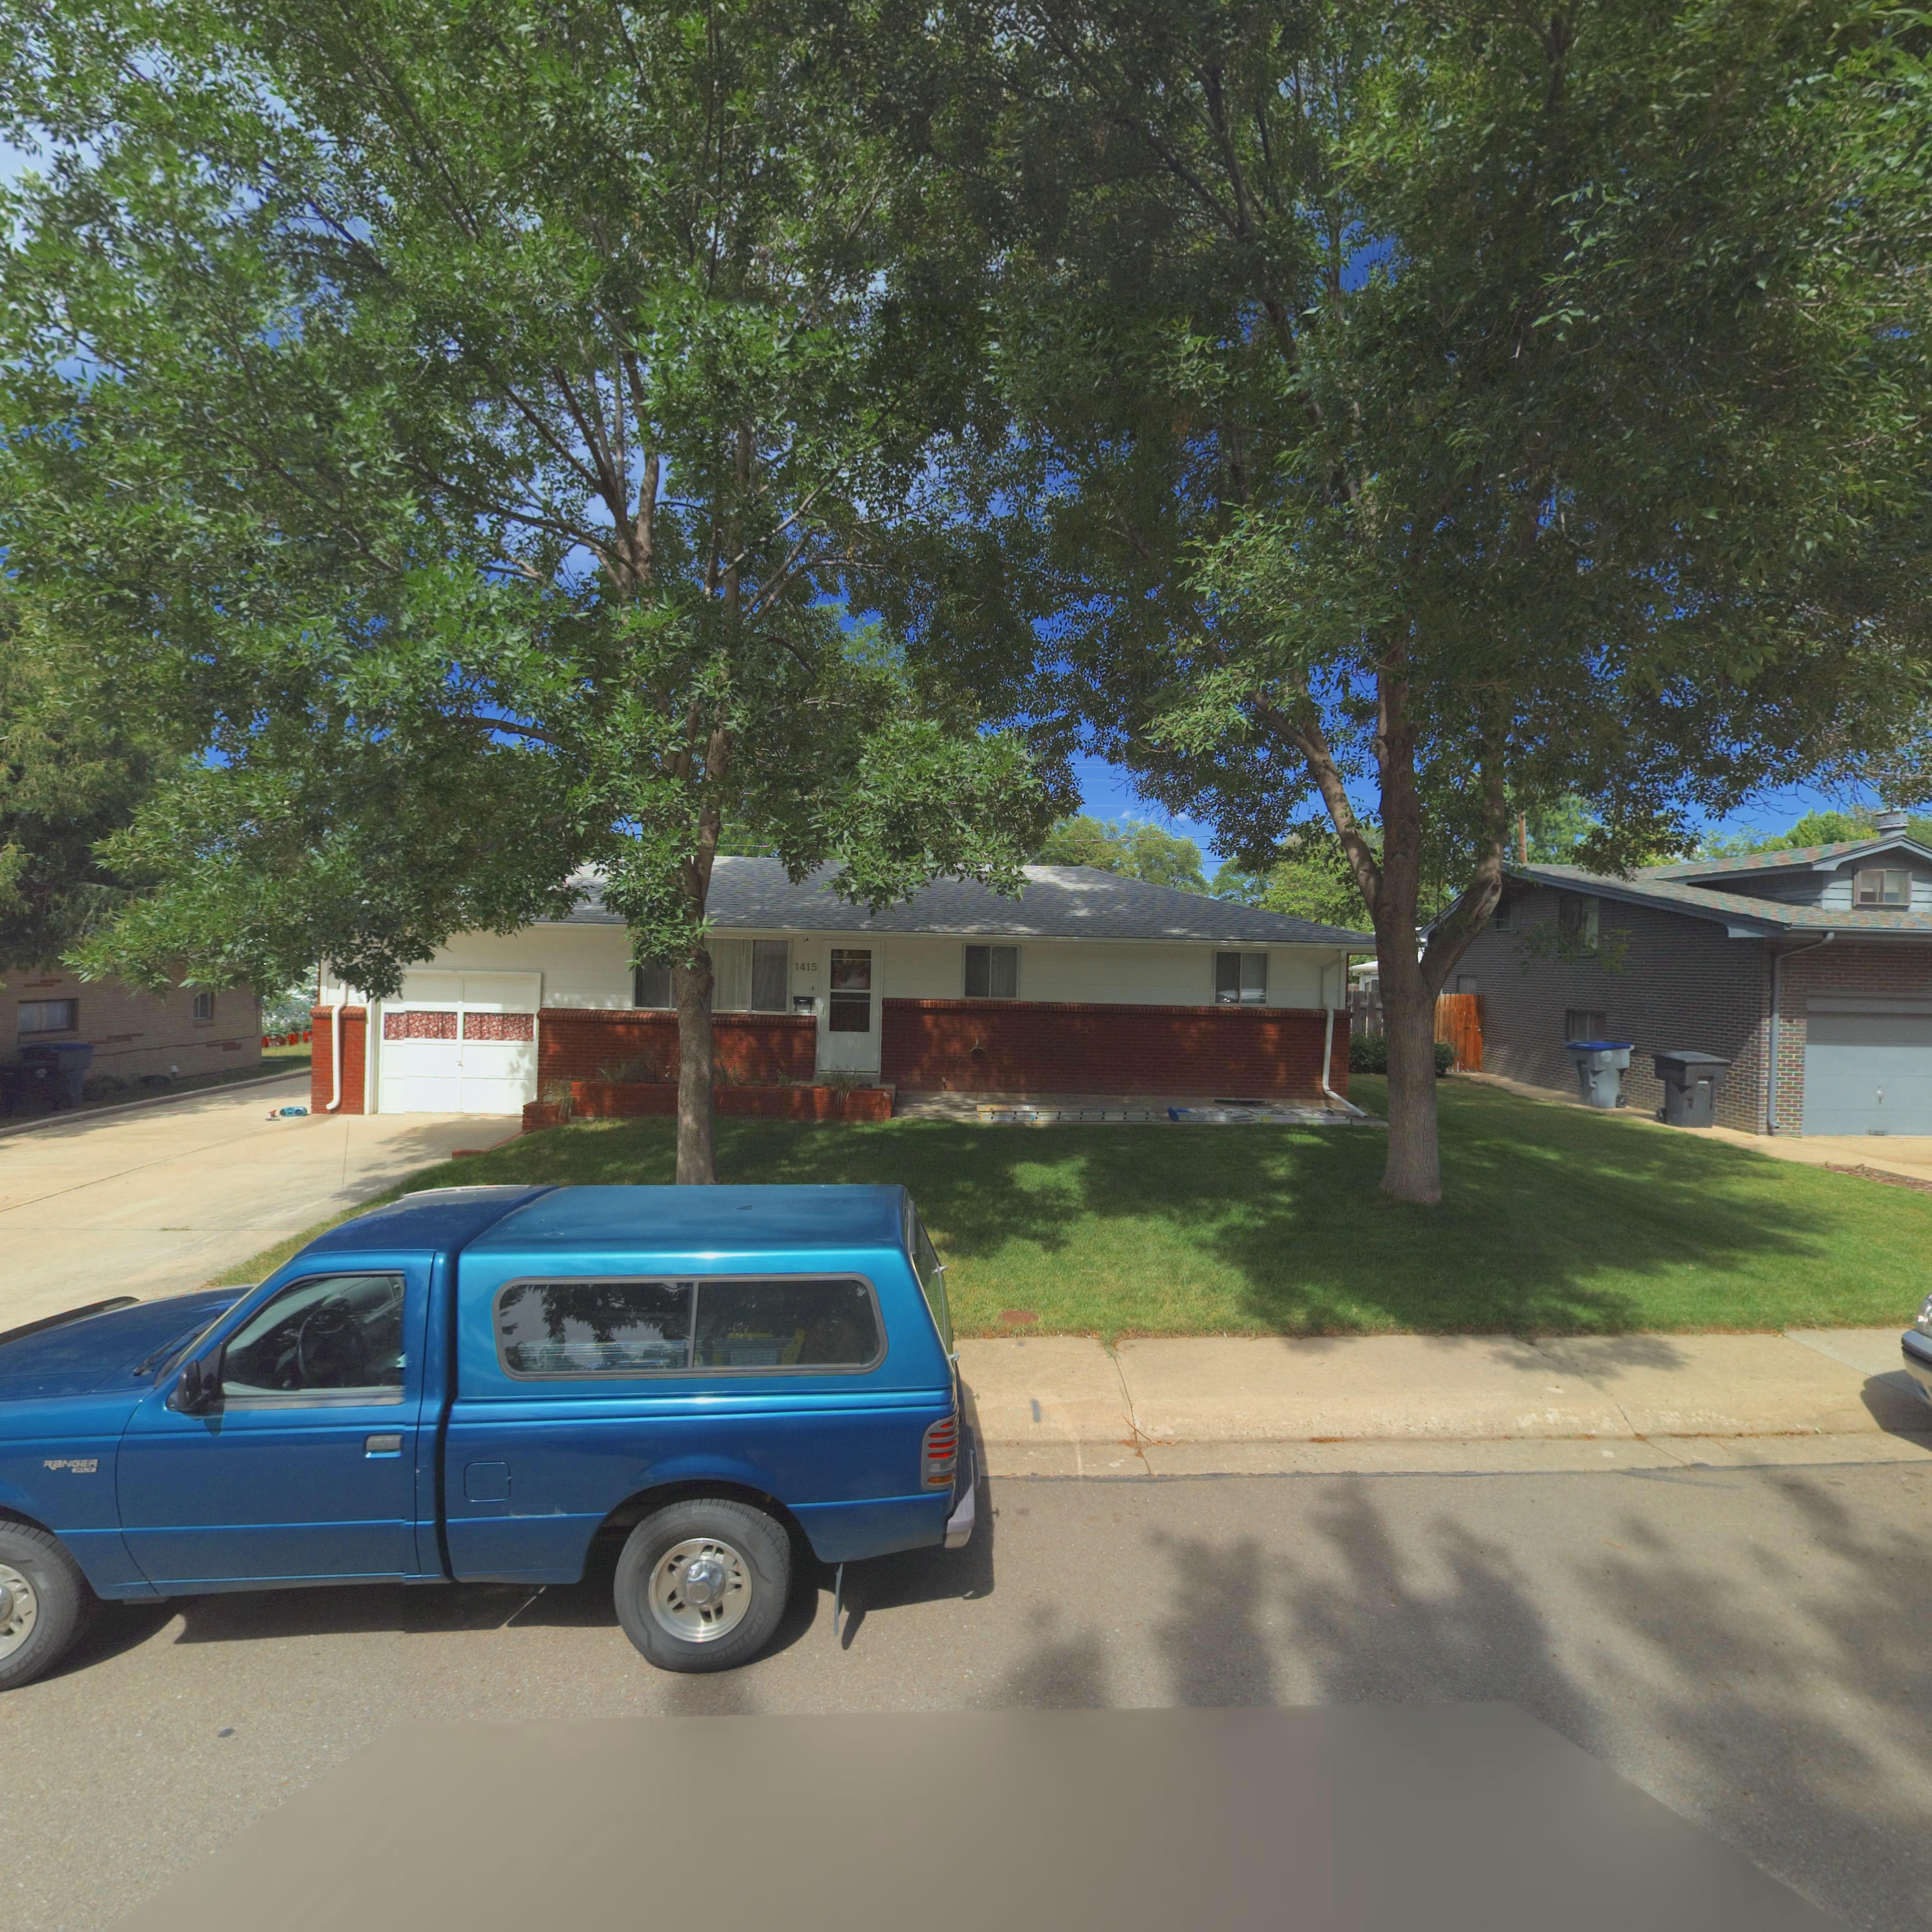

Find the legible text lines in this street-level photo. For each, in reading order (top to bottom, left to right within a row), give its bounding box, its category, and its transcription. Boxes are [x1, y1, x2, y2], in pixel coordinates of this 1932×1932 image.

[794, 962, 817, 971] StreetNumber: 1415